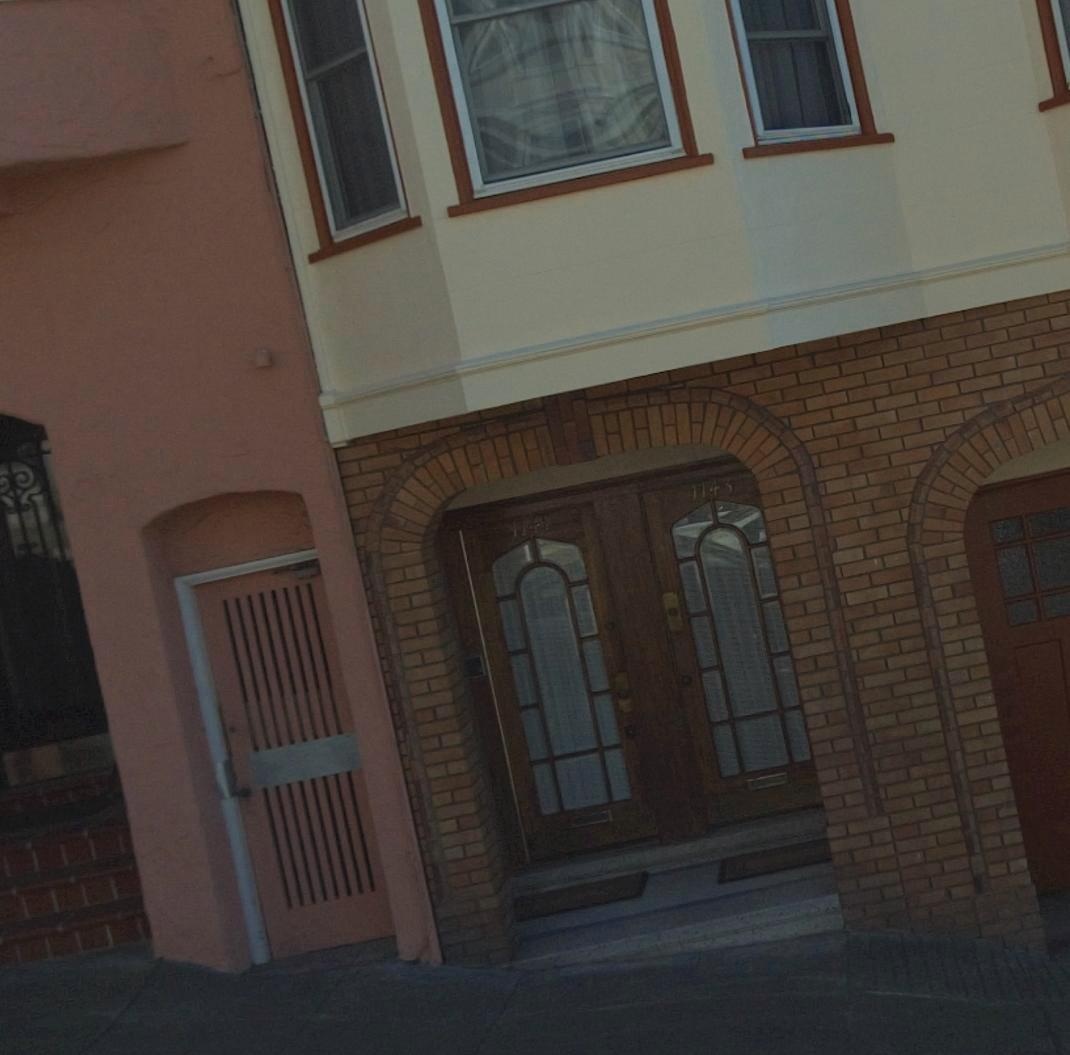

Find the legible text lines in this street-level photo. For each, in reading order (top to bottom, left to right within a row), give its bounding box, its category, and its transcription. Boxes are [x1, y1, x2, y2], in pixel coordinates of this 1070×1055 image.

[689, 474, 735, 503] StreetNumber: 1143
[508, 512, 553, 540] StreetNumber: 1141